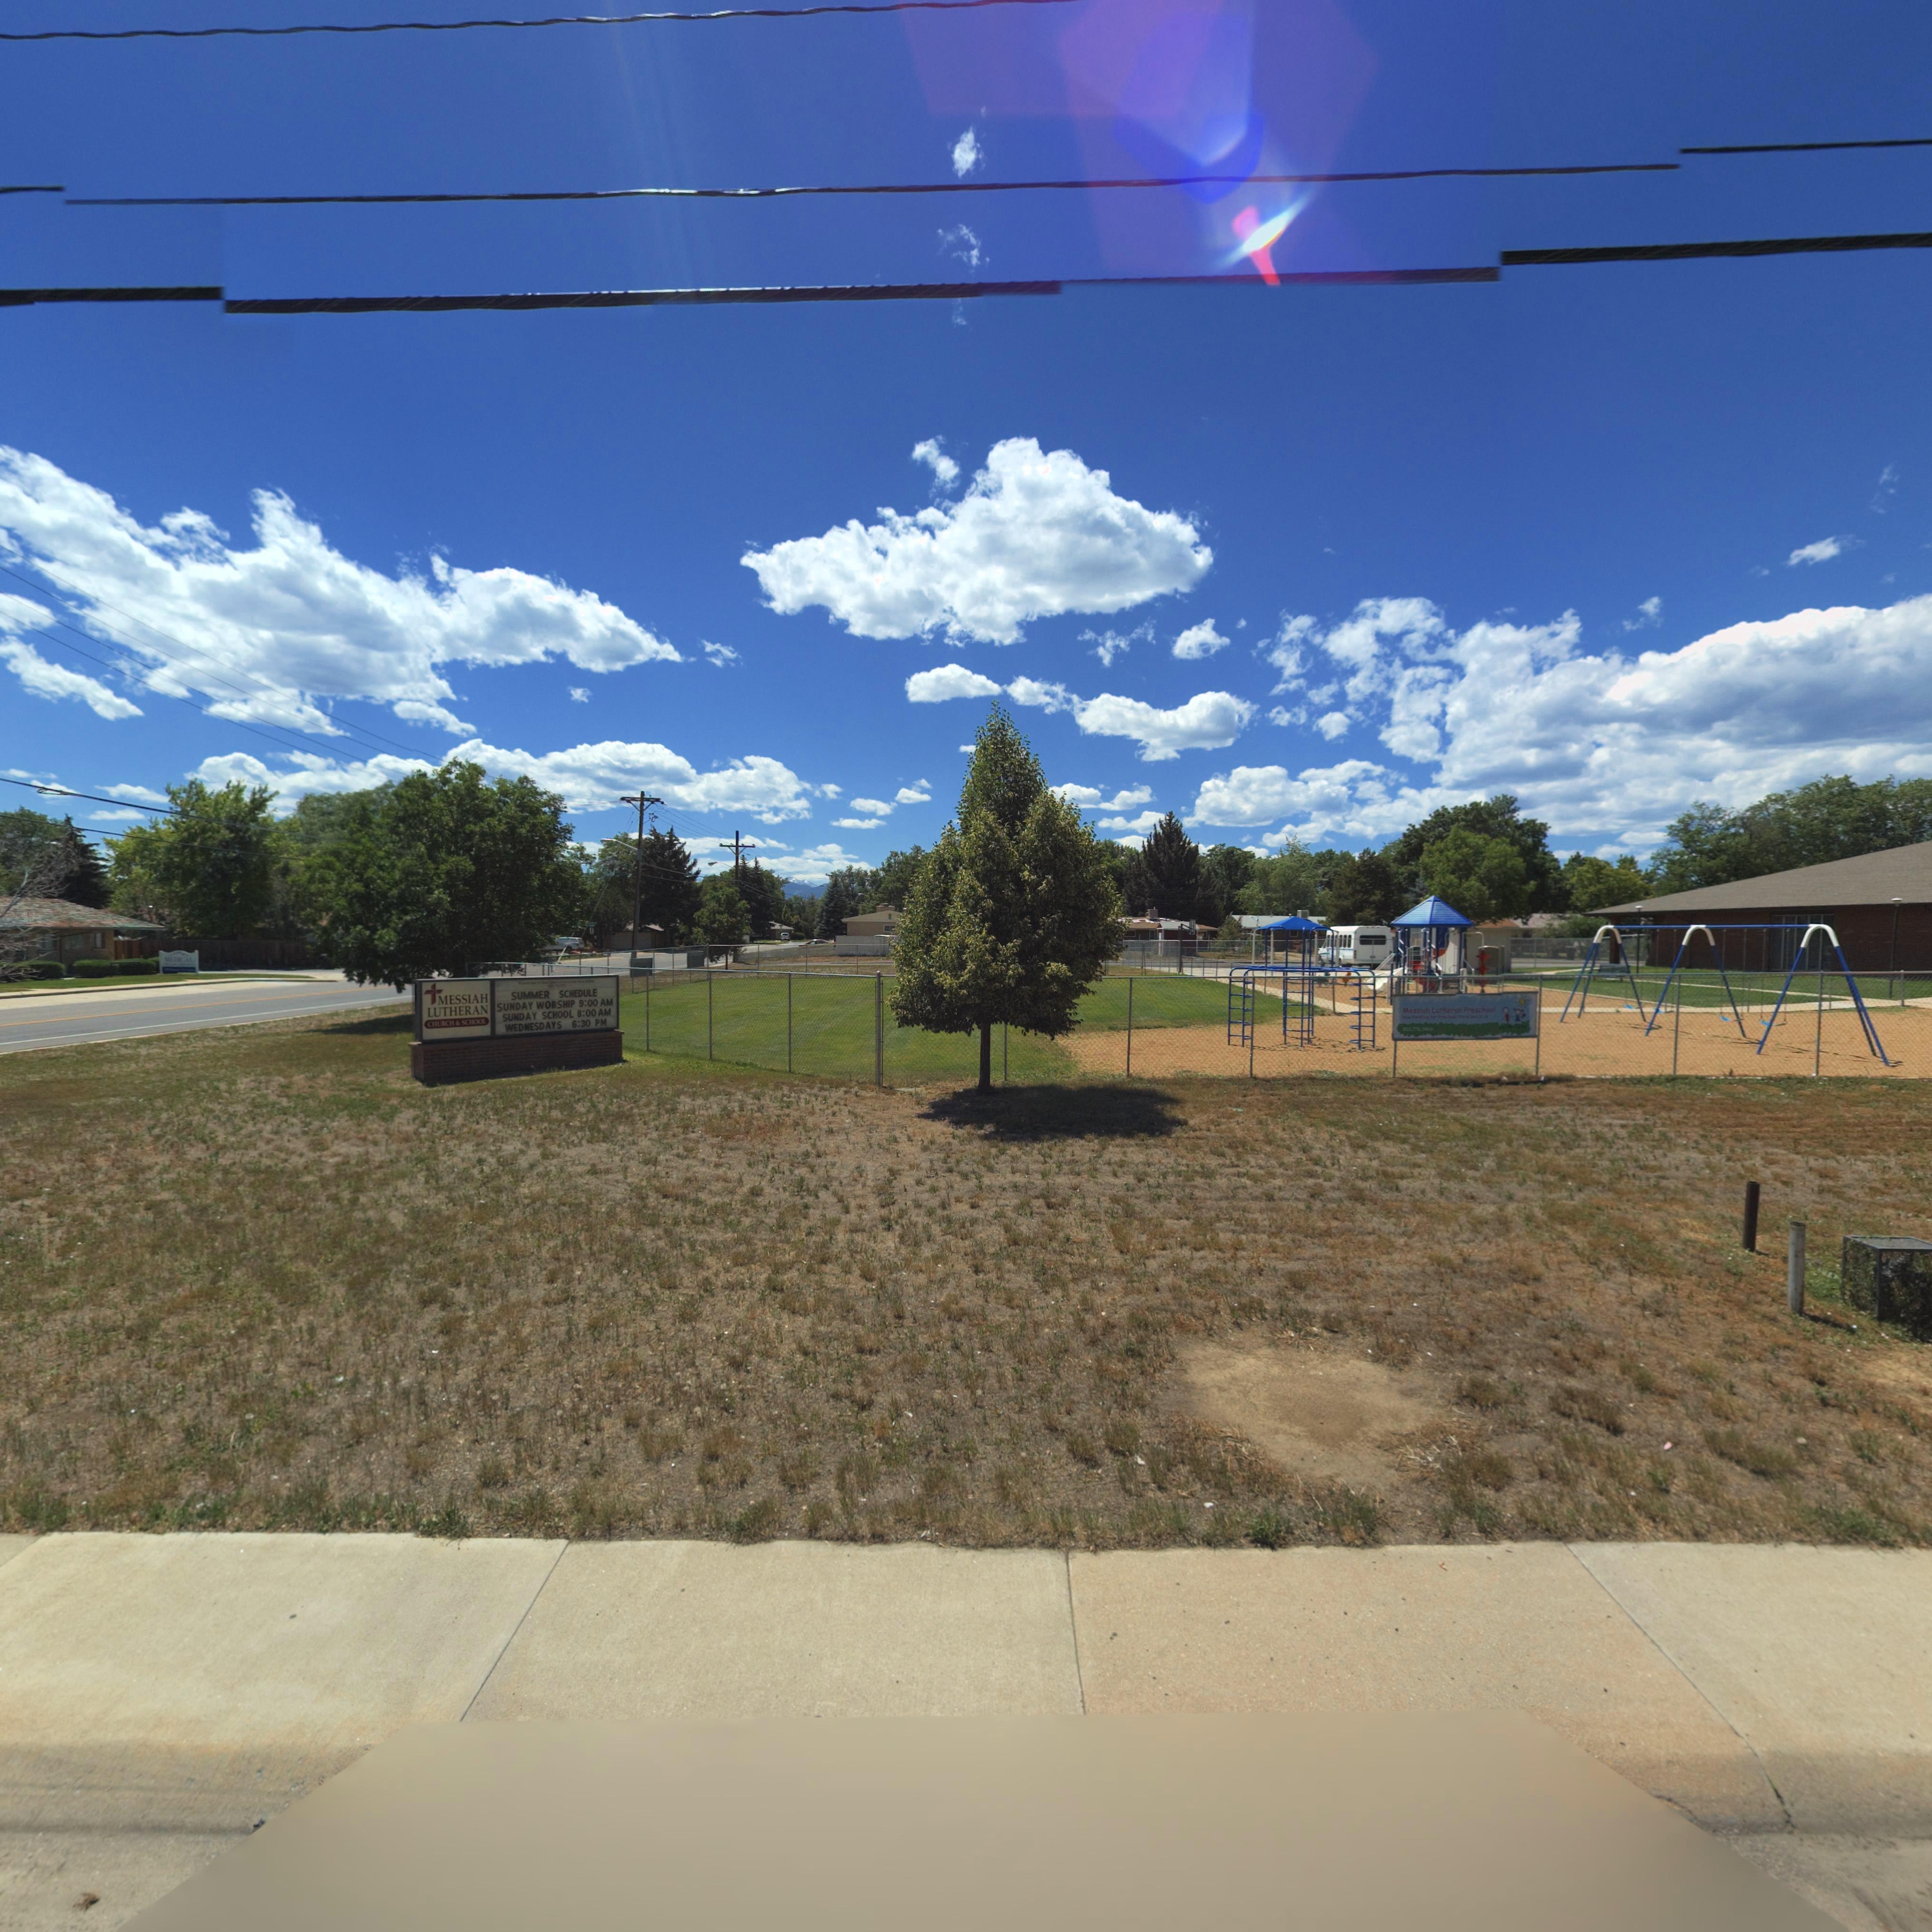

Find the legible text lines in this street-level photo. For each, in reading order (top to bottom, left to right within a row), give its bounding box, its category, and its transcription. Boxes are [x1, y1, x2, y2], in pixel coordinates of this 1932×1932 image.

[436, 992, 489, 1006] BusinessName: MESSIAH
[426, 1004, 489, 1018] BusinessName: LUTHERAN
[1401, 1006, 1496, 1014] BusinessName: Messiah Lutheran Preschool